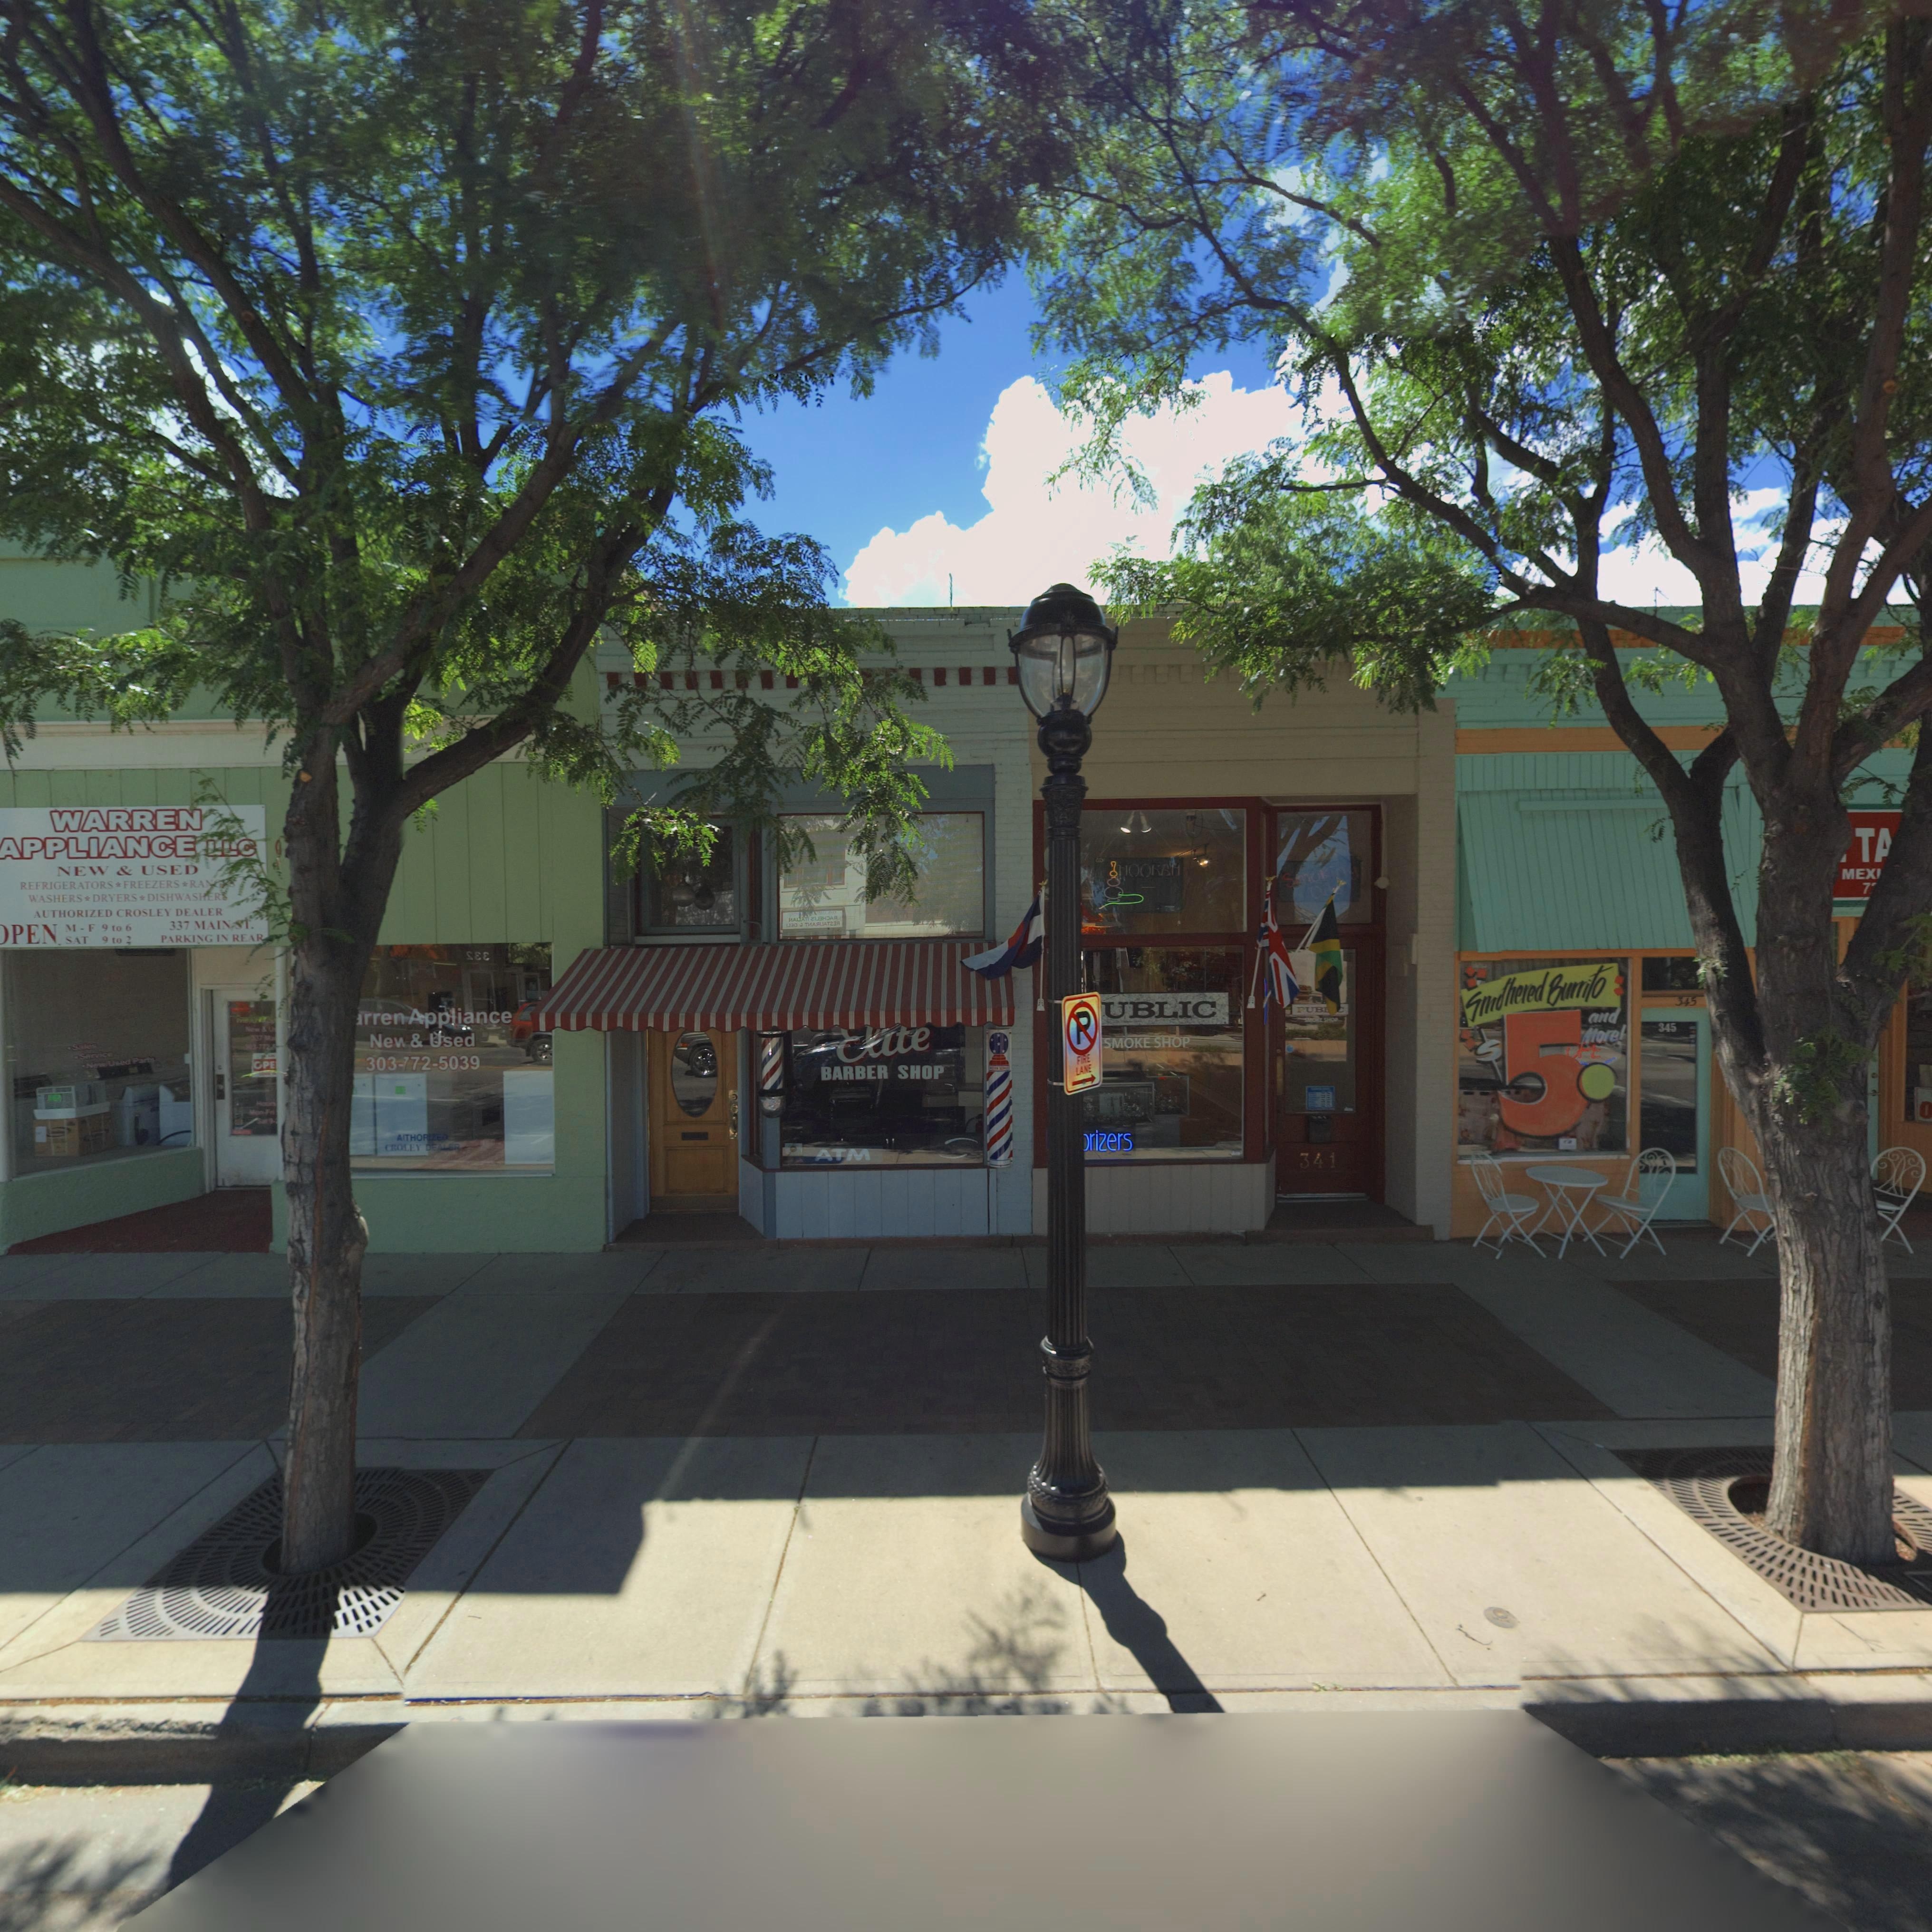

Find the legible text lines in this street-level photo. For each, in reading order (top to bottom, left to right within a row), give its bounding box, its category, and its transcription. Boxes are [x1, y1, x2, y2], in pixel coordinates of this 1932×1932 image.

[49, 808, 202, 832] BusinessName: WARREN
[0, 835, 257, 860] BusinessName: APPLIANCE LLC
[1838, 827, 1894, 864] BusinessName: * TA
[1841, 868, 1882, 879] BusinessName: MEXI
[169, 920, 190, 931] StreetNumber: 337
[193, 919, 254, 930] StreetName: MAIN ST.
[1675, 996, 1697, 1007] StreetNumber: 345
[1101, 1000, 1217, 1019] BusinessName: UBLIC
[1296, 1005, 1345, 1013] BusinessName: PUB**
[355, 1006, 512, 1029] BusinessName: *rren Appliance
[1304, 1017, 1338, 1023] BusinessName: SMOKE SHOP
[1657, 1022, 1677, 1032] StreetNumber: 345
[251, 1034, 263, 1042] StreetNumber: **7
[836, 1023, 931, 1064] BusinessName: **ite
[1103, 1036, 1189, 1048] BusinessName: SMOKE SHOP
[820, 1064, 945, 1081] BusinessName: BARBER SHOP
[1312, 1115, 1326, 1119] StreetNumber: 341
[1299, 1151, 1335, 1169] StreetNumber: 341